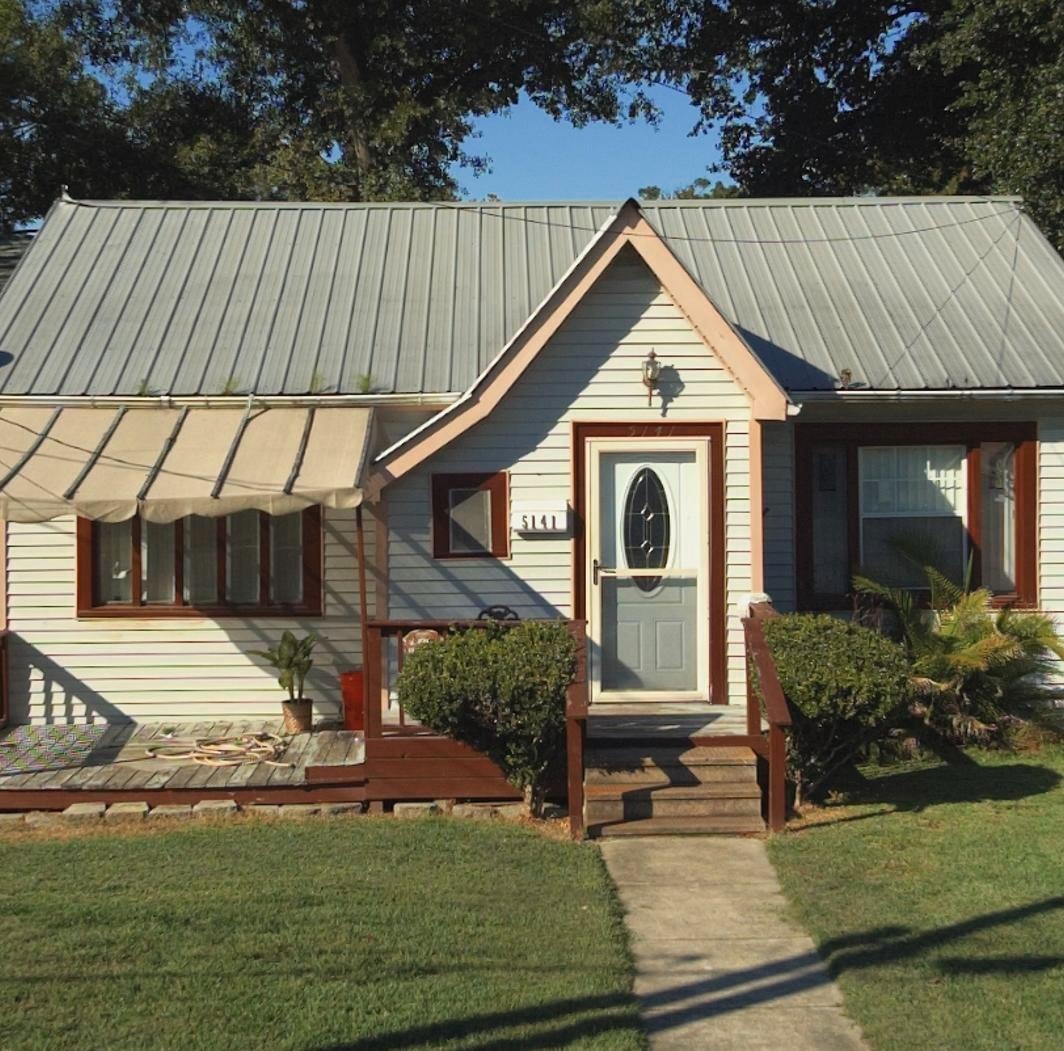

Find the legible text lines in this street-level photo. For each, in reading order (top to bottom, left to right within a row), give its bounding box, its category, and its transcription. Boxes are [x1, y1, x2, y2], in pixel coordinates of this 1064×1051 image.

[520, 513, 559, 531] StreetNumber: 5141